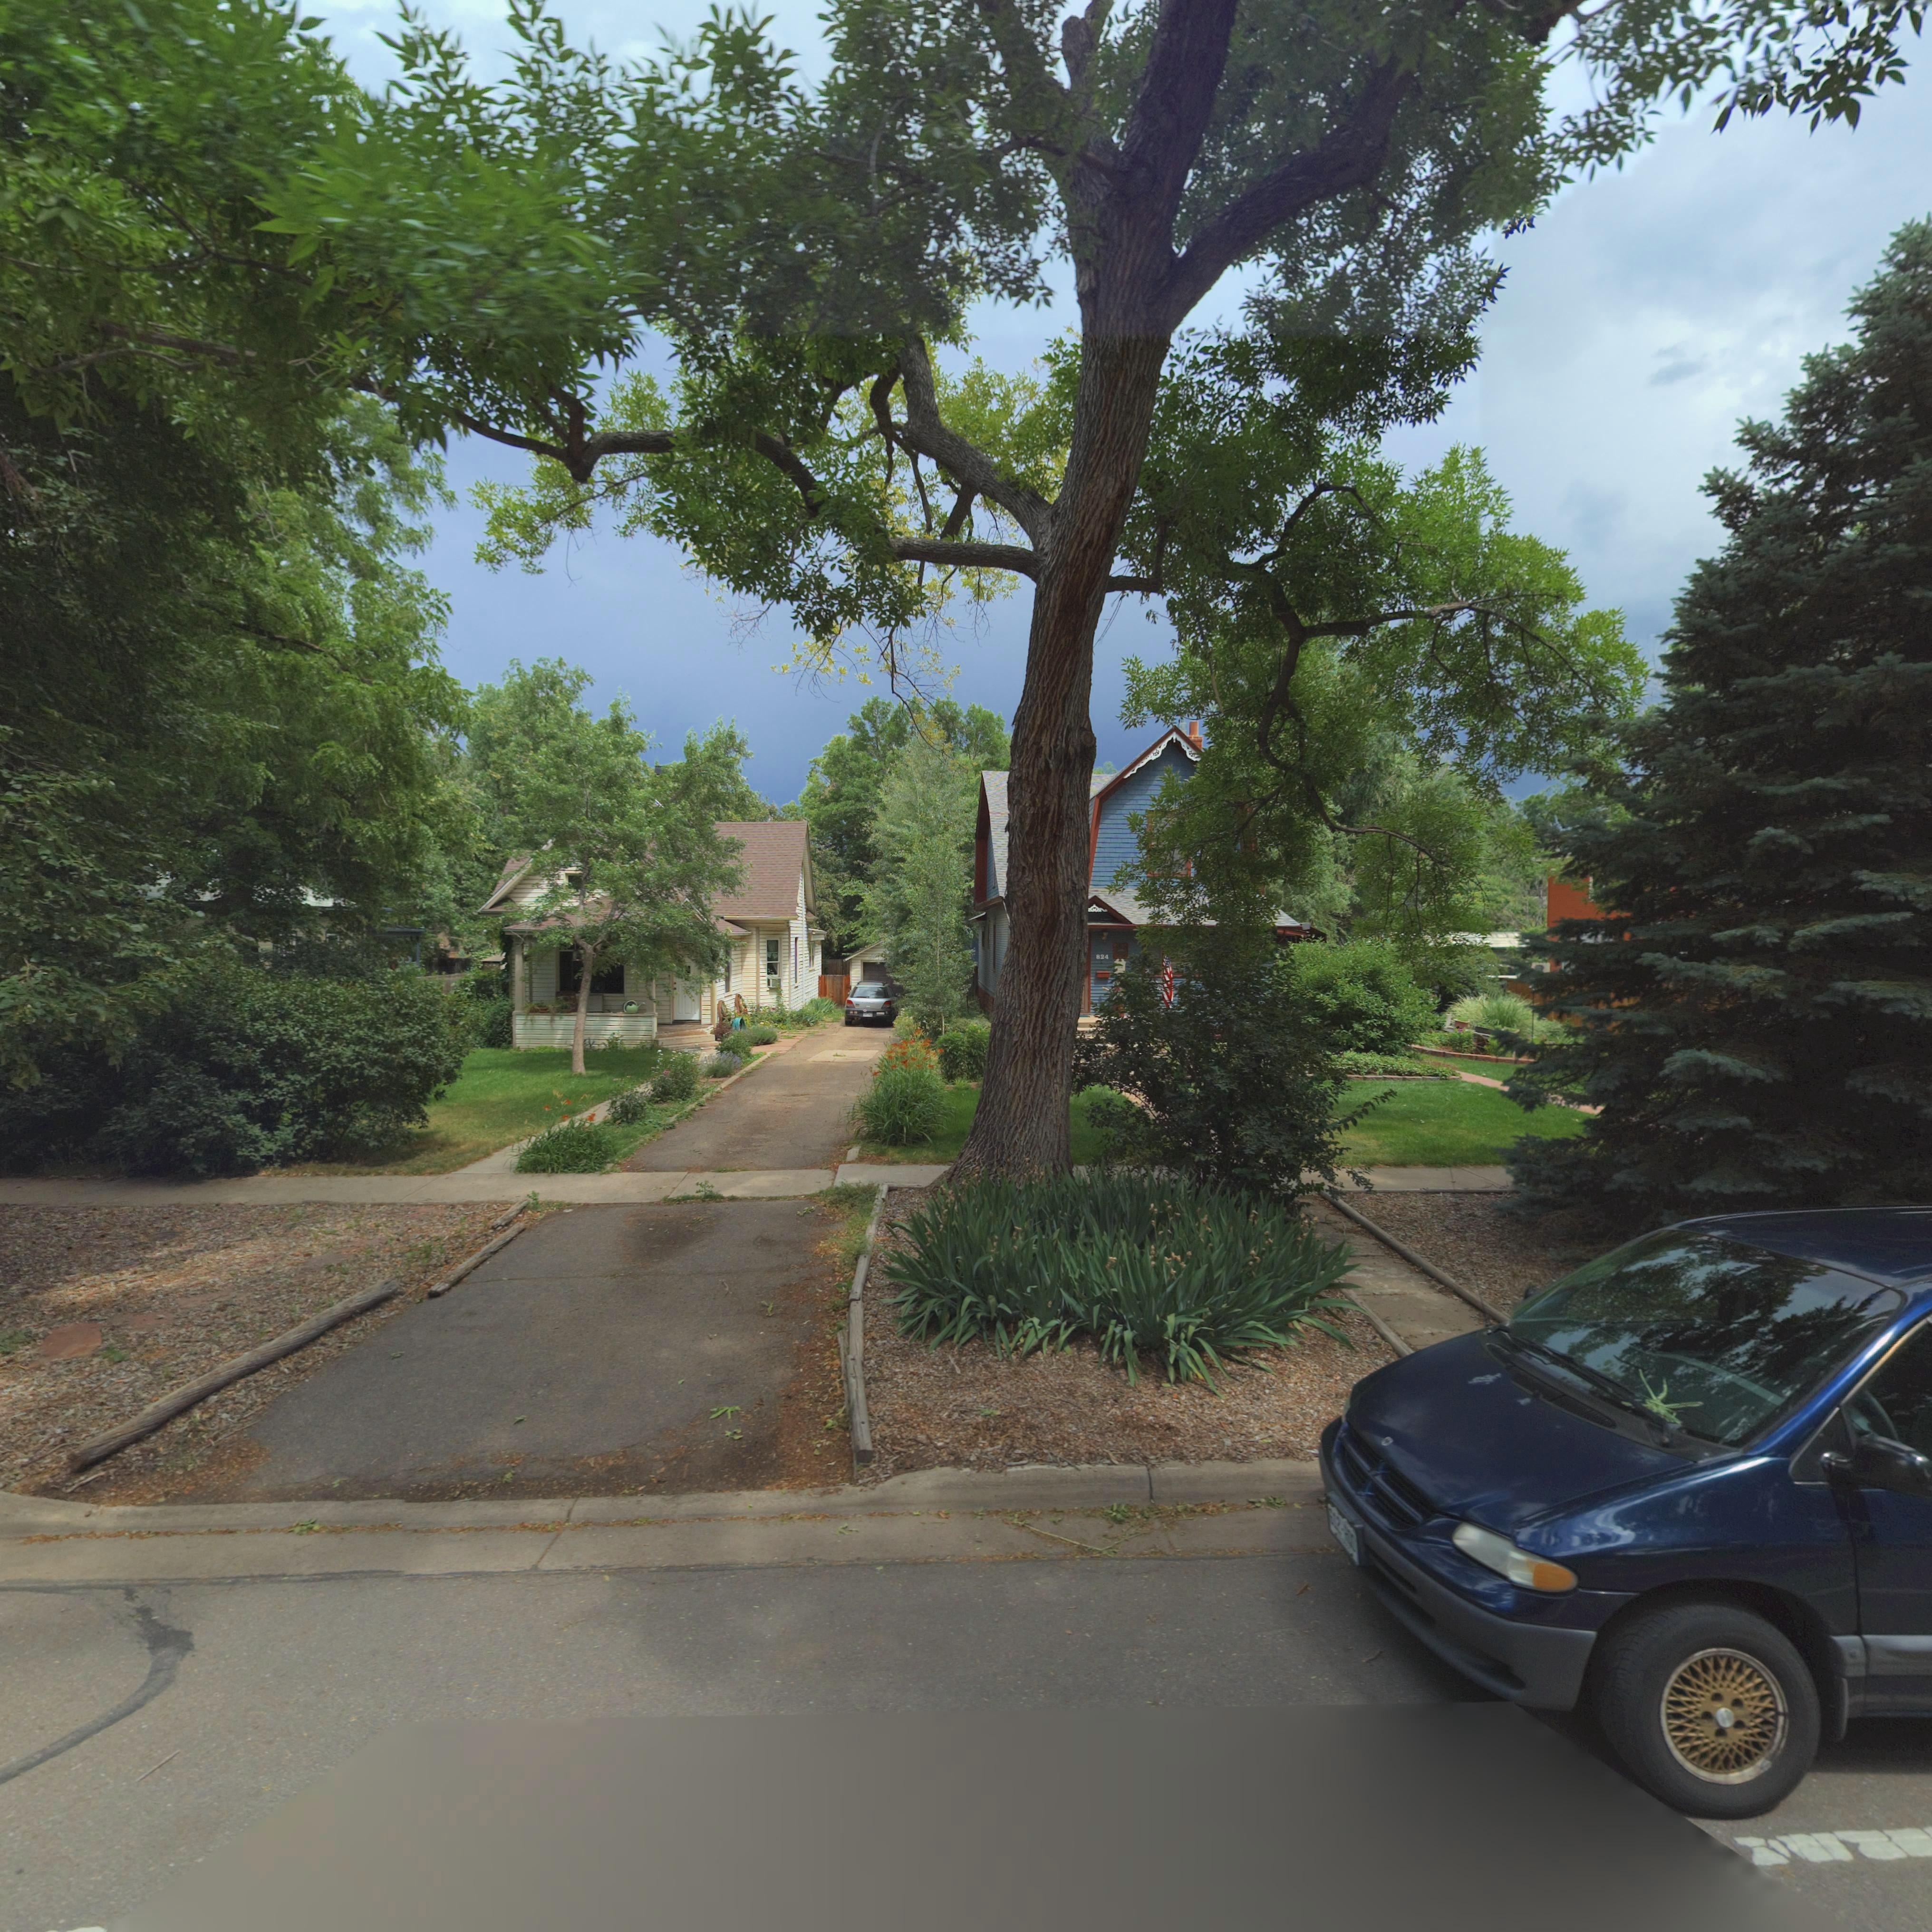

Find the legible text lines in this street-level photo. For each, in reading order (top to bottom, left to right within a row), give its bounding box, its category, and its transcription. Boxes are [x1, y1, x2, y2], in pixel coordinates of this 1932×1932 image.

[1095, 954, 1109, 960] StreetNumber: 824